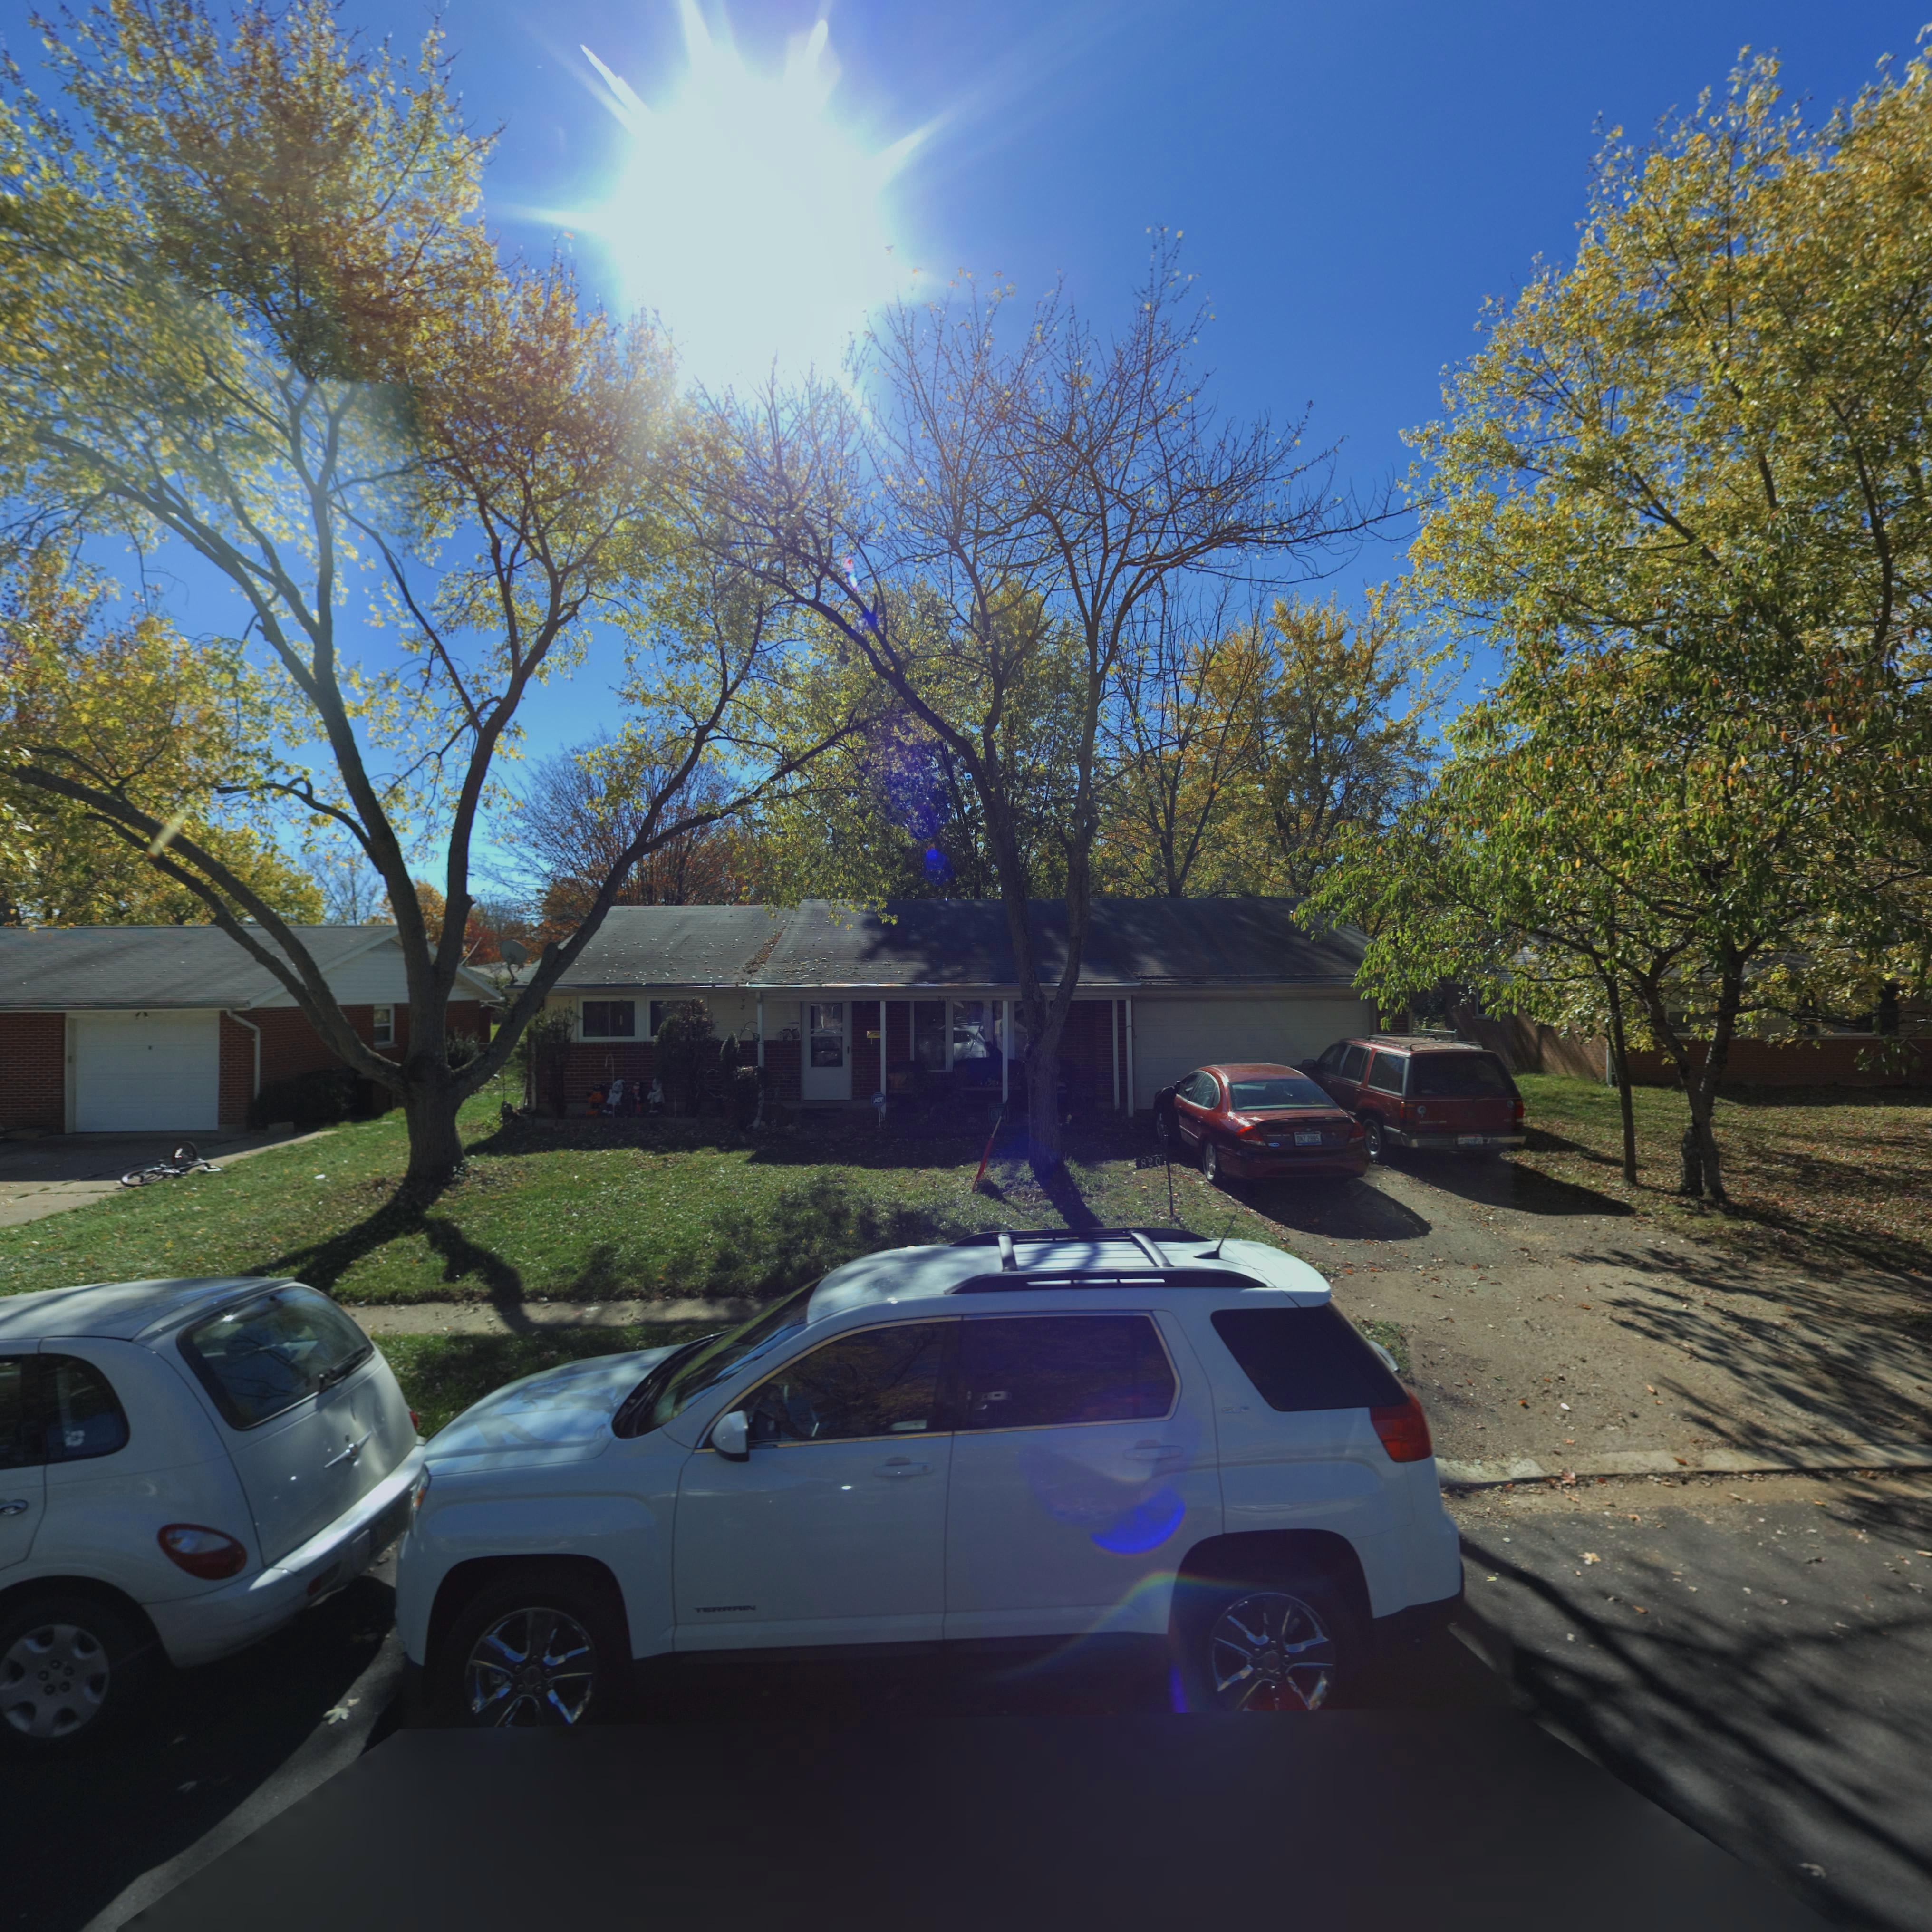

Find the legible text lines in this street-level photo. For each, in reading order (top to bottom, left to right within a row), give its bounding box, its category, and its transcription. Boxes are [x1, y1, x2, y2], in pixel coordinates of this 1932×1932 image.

[937, 995, 951, 1001] StreetNumber: 820
[1140, 1156, 1161, 1169] StreetNumber: 820